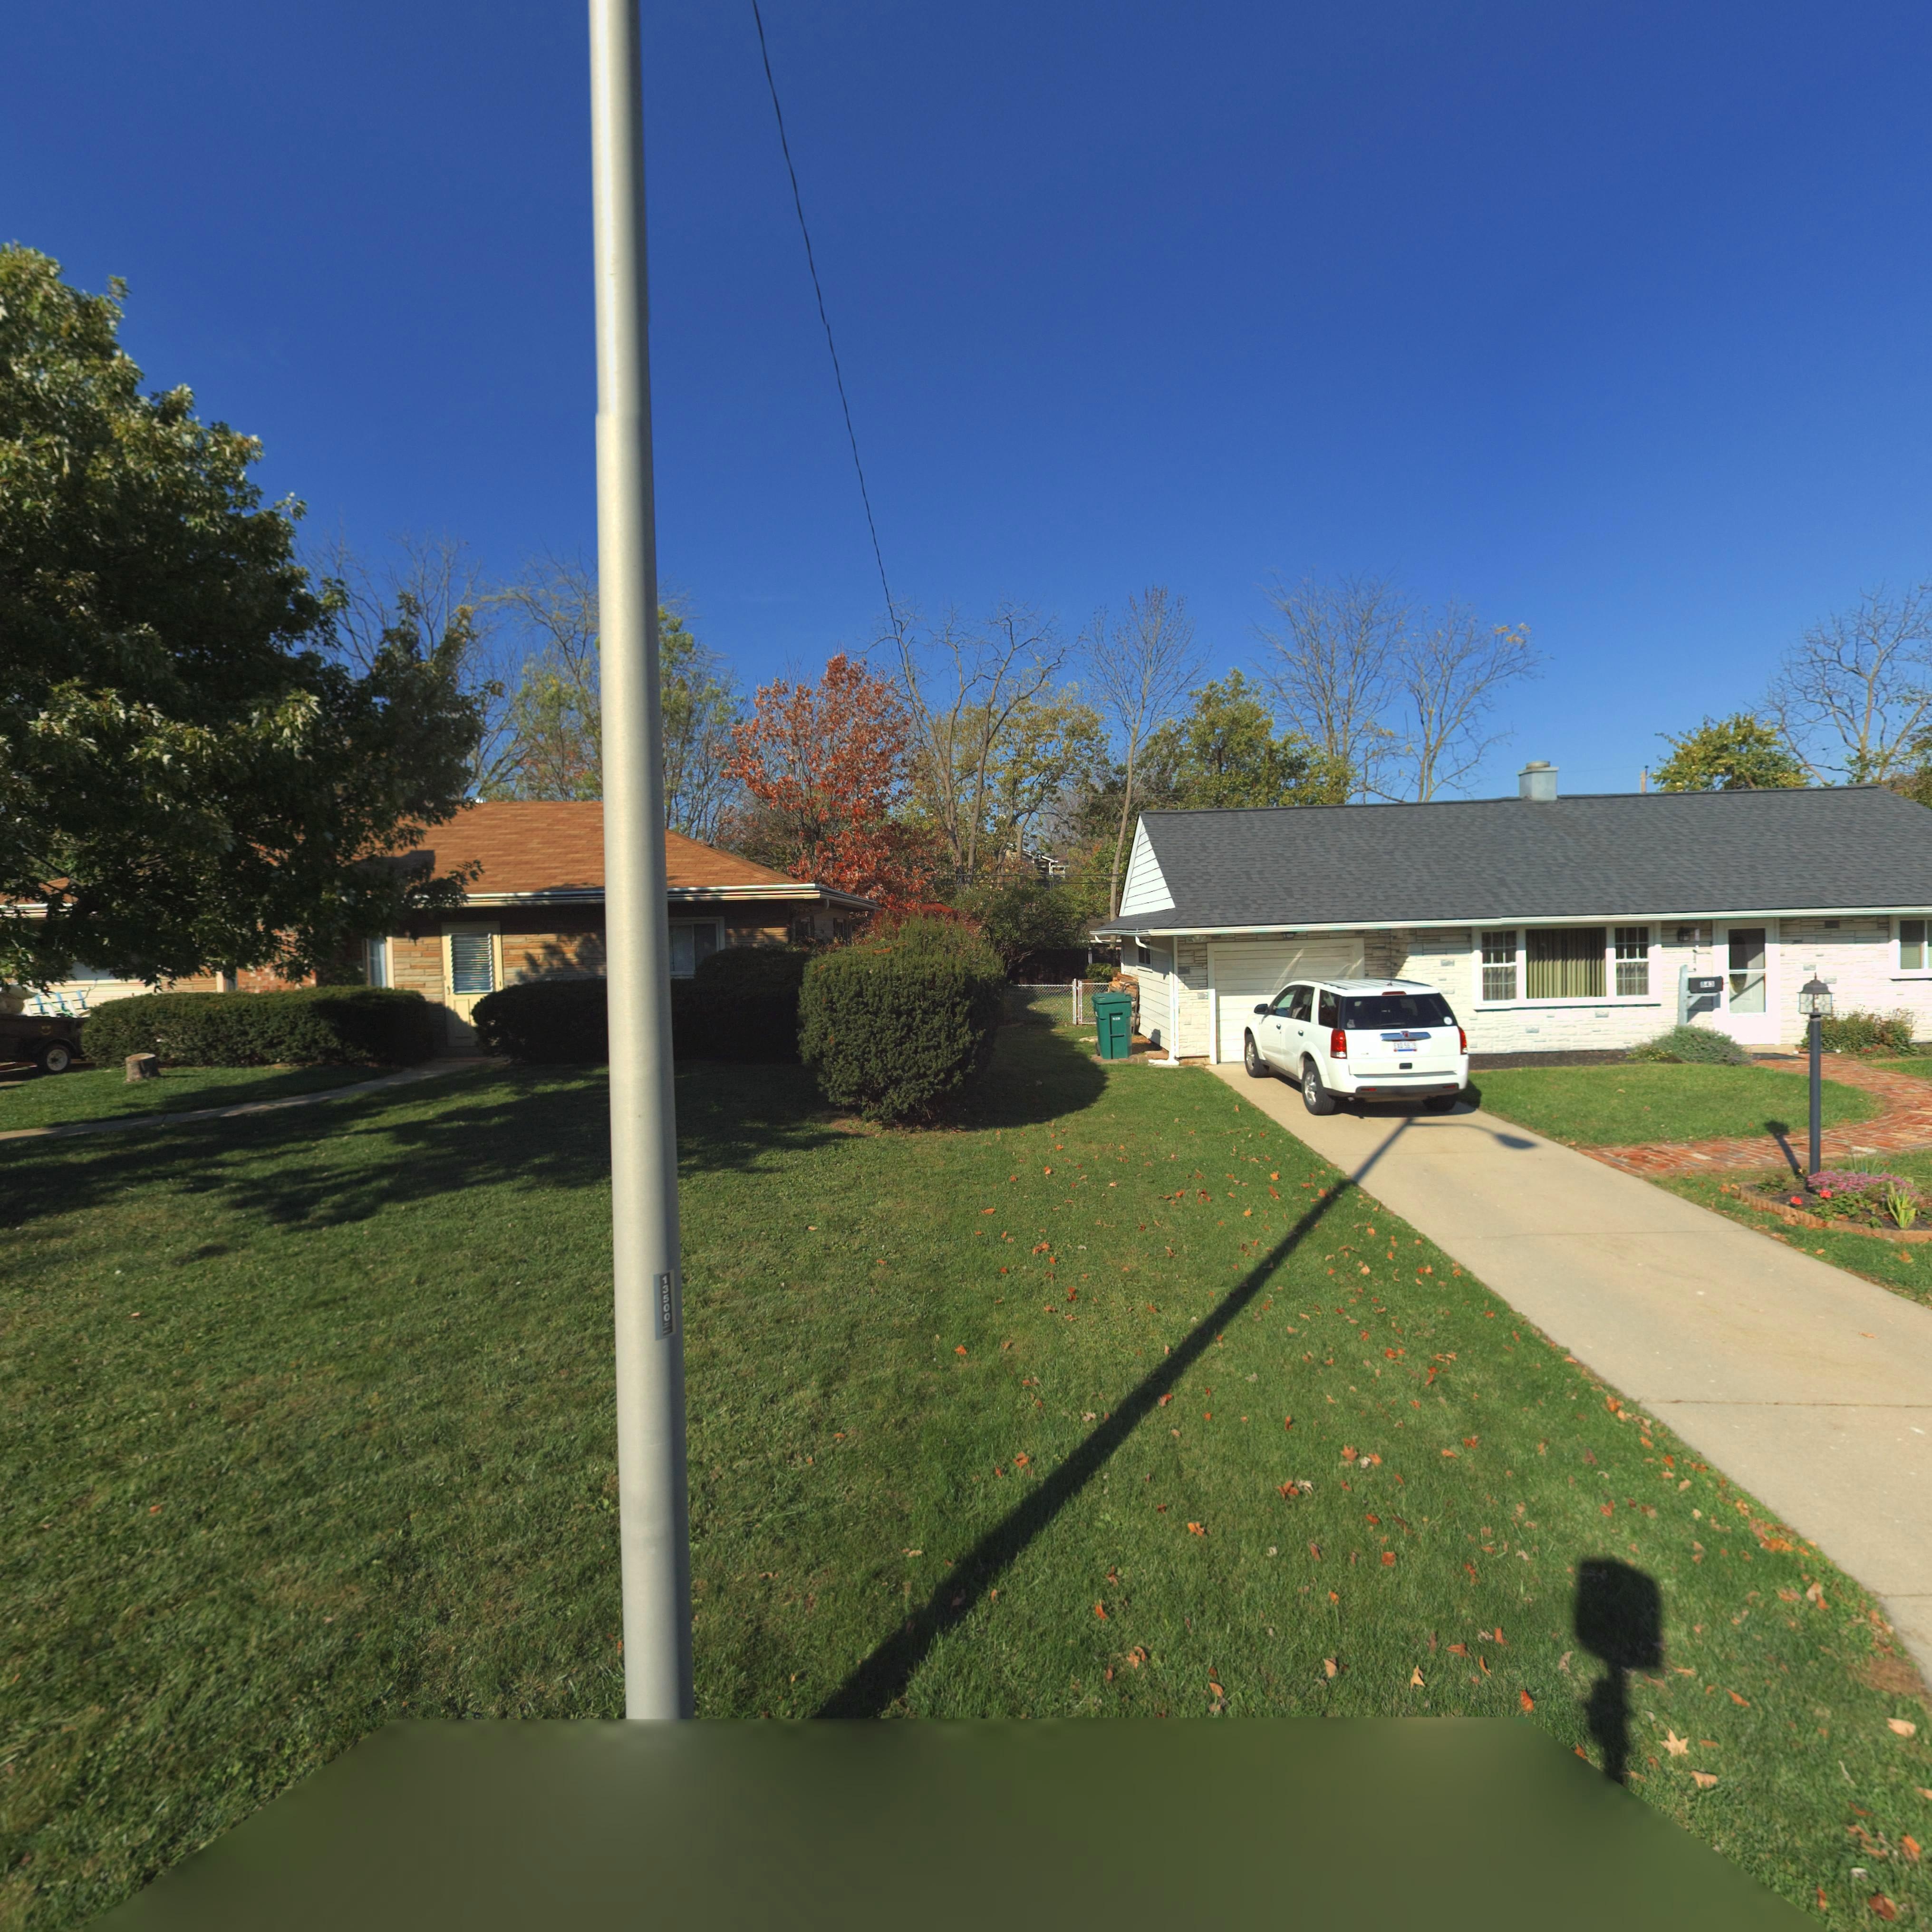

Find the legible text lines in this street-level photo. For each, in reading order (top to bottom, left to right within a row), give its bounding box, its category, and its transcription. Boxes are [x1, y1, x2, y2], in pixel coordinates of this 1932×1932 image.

[1700, 981, 1714, 987] None: 843
[1393, 1042, 1417, 1049] None: EXO 5679
[661, 1274, 671, 1323] None: 13500